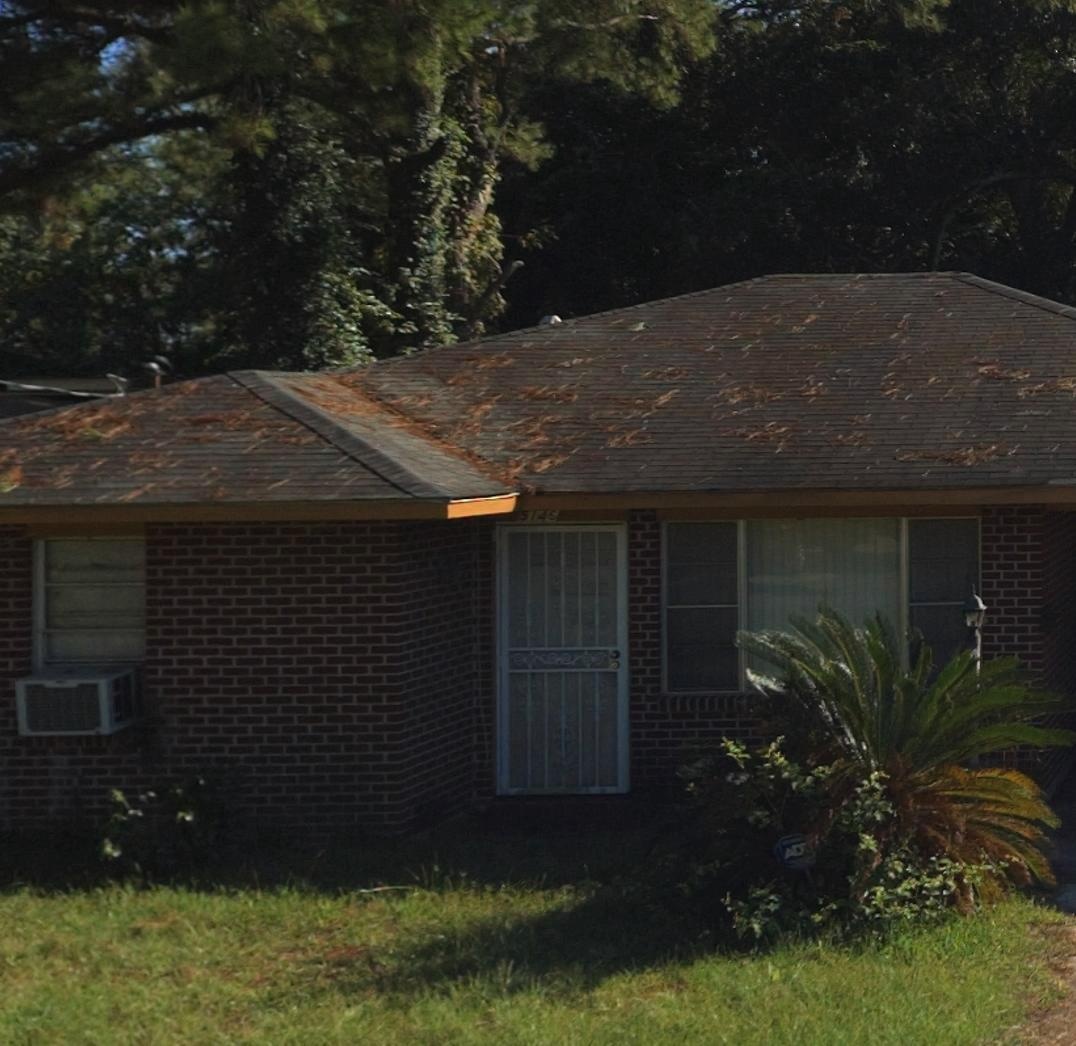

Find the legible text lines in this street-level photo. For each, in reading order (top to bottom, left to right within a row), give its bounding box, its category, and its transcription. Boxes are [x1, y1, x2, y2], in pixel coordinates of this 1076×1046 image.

[518, 509, 559, 522] StreetNumber: 5146
[784, 841, 804, 860] None: AD